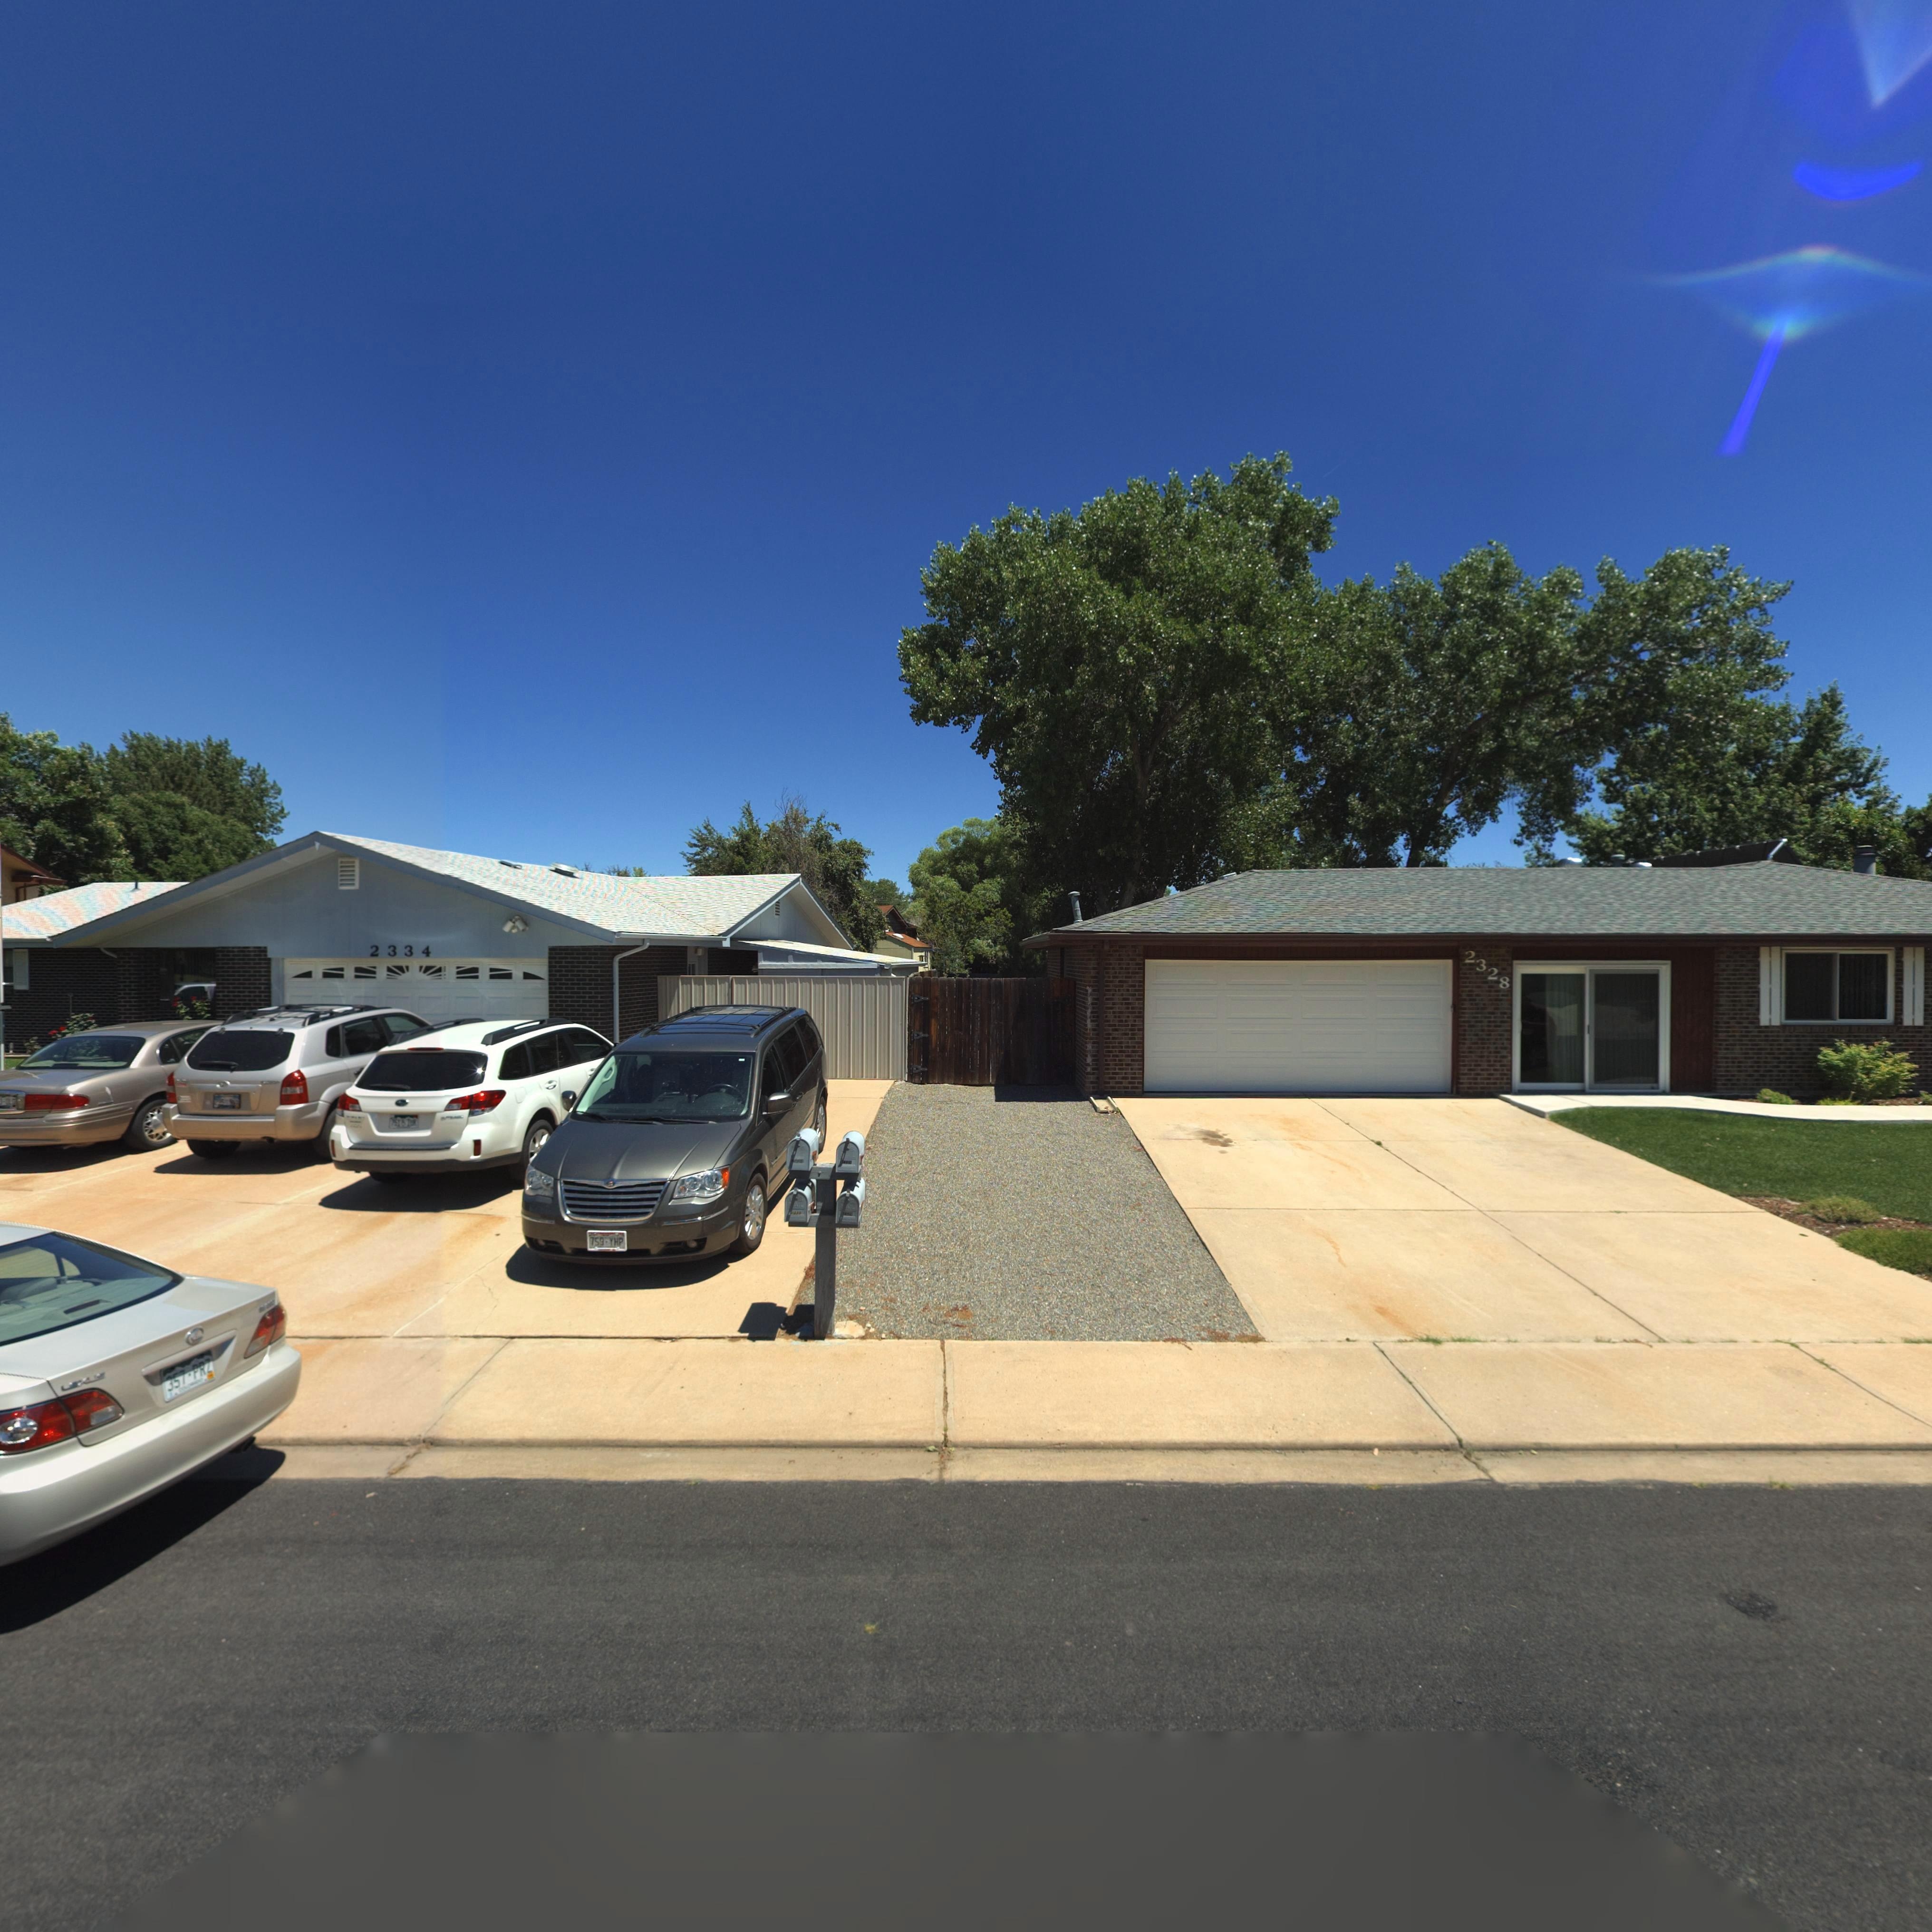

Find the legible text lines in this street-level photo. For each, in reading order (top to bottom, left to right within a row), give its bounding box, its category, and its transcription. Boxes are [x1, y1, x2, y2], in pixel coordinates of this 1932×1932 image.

[369, 945, 431, 957] StreetNumber: 2334
[1464, 950, 1510, 989] StreetNumber: 2328